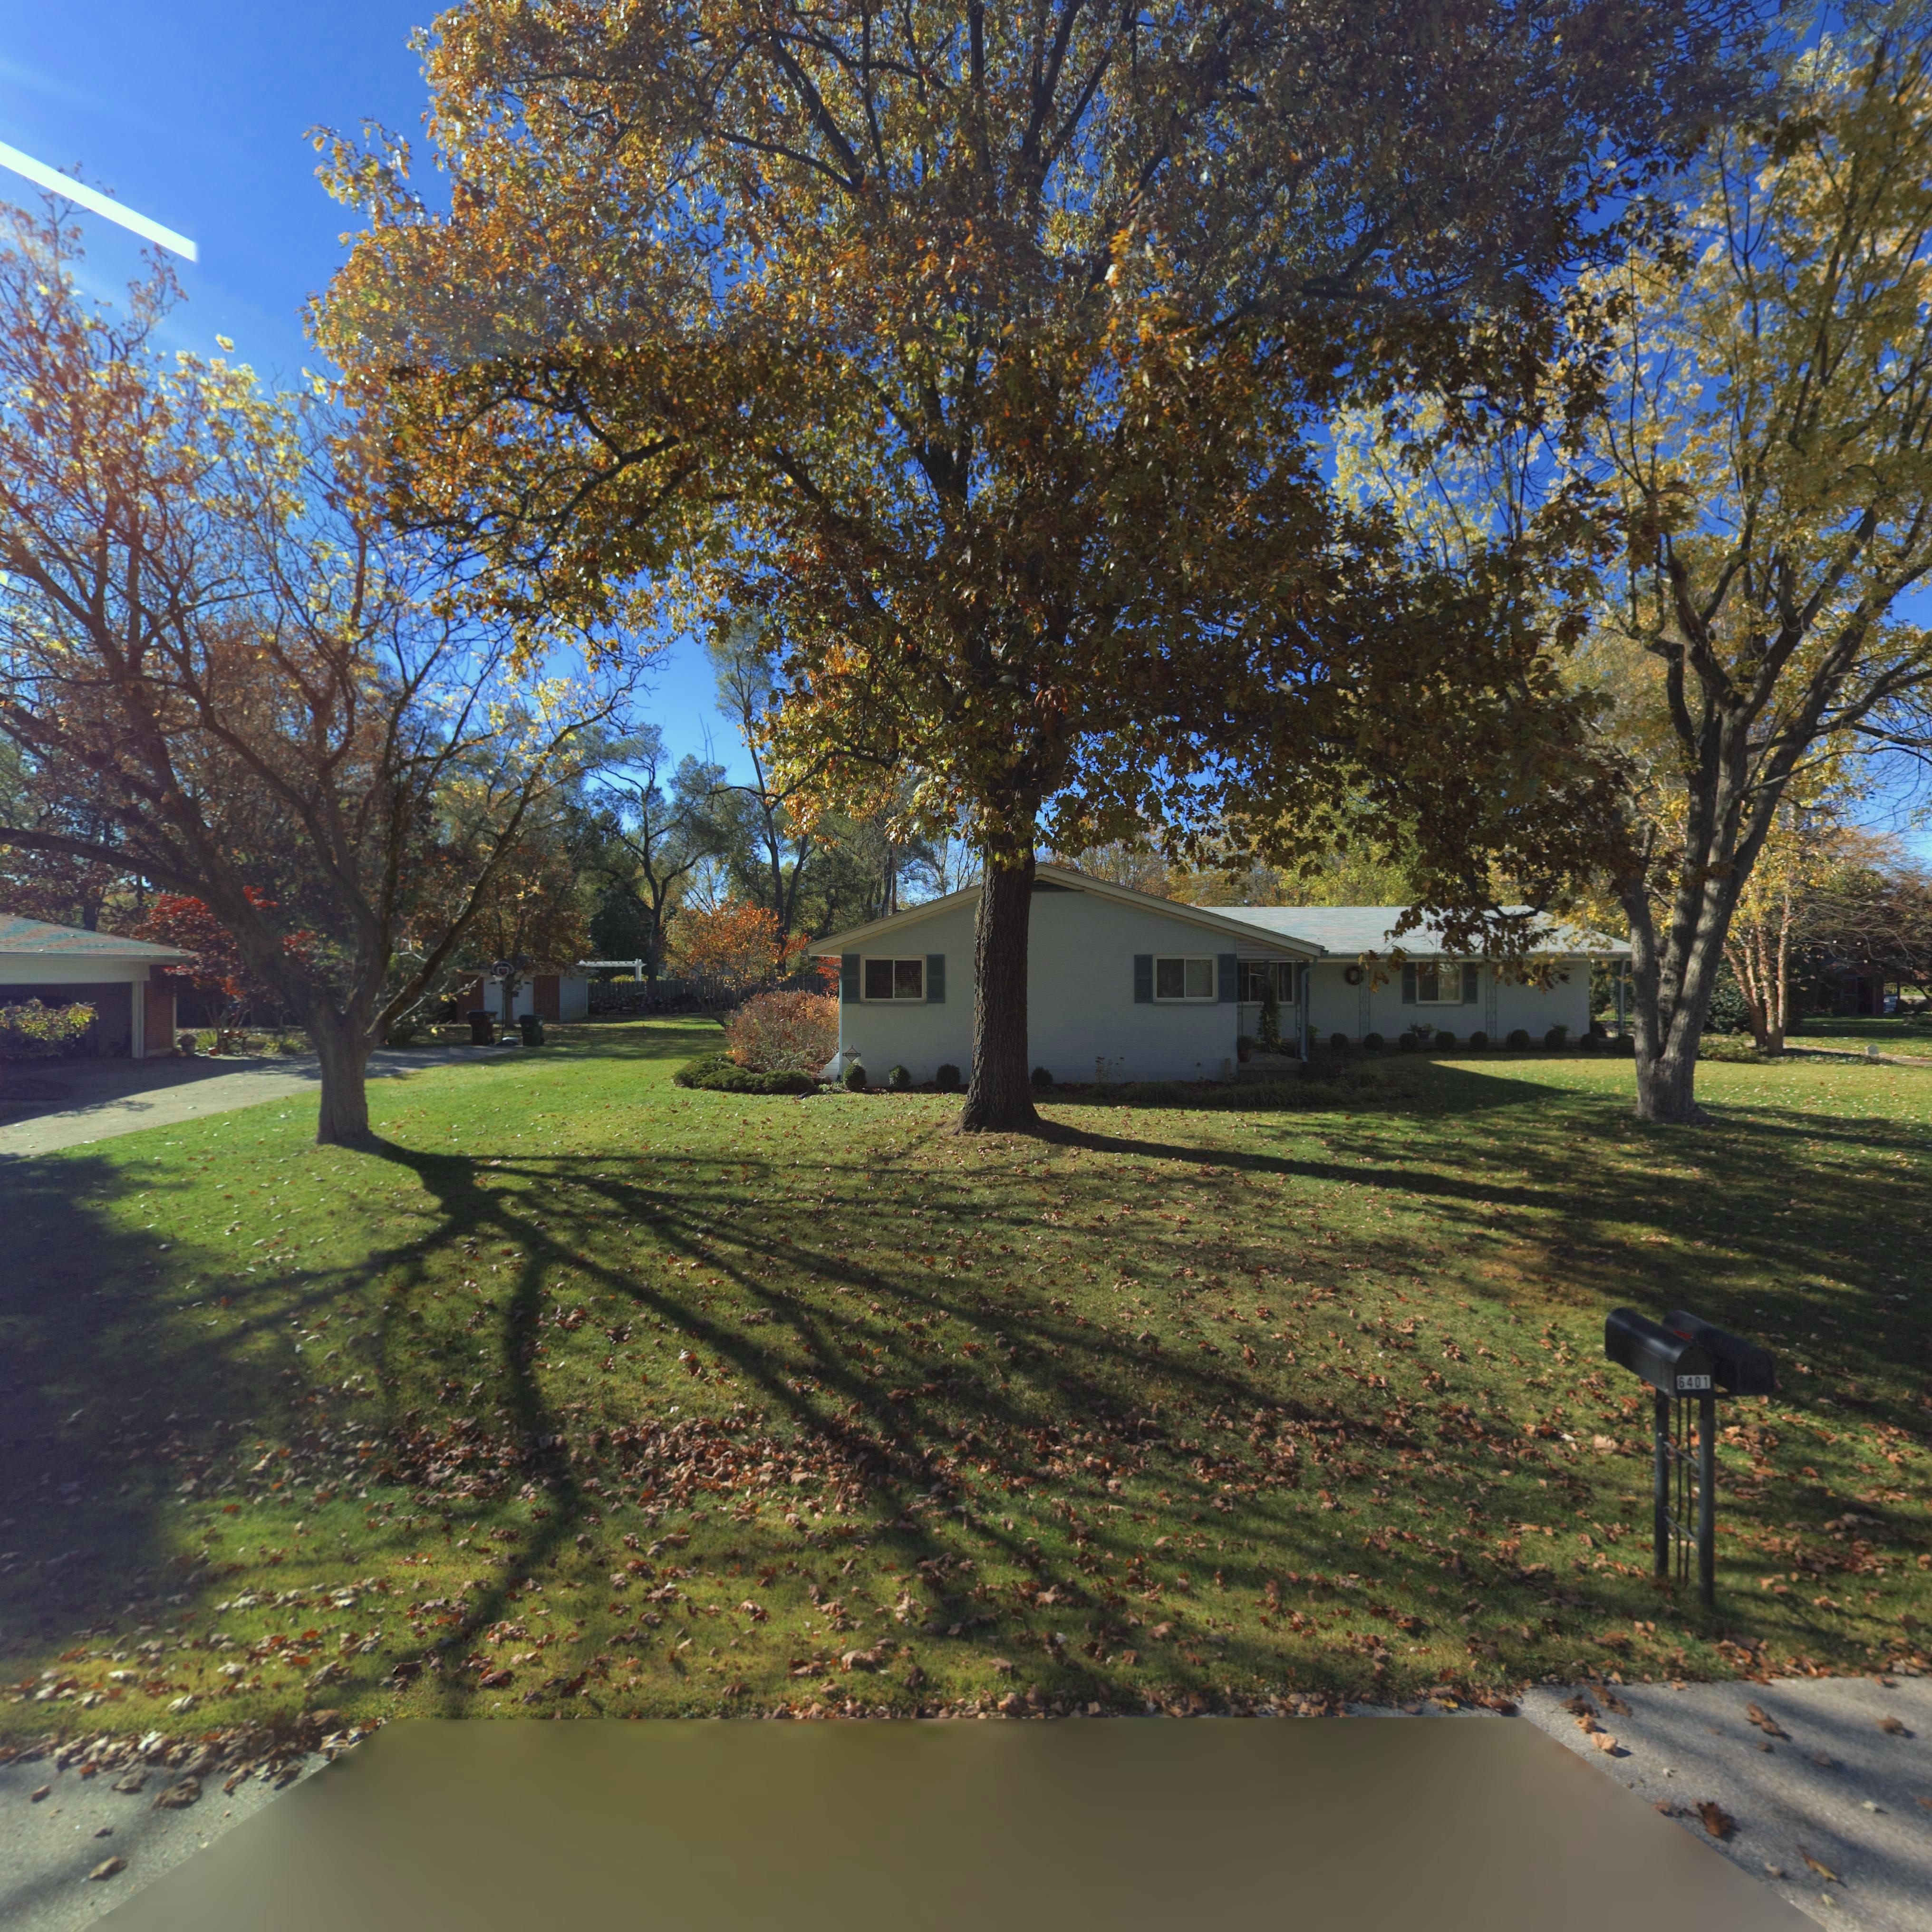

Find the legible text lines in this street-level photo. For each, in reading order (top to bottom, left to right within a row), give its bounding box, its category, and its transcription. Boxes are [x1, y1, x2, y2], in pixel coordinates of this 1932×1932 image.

[1678, 1375, 1709, 1389] StreetNumber: 6401